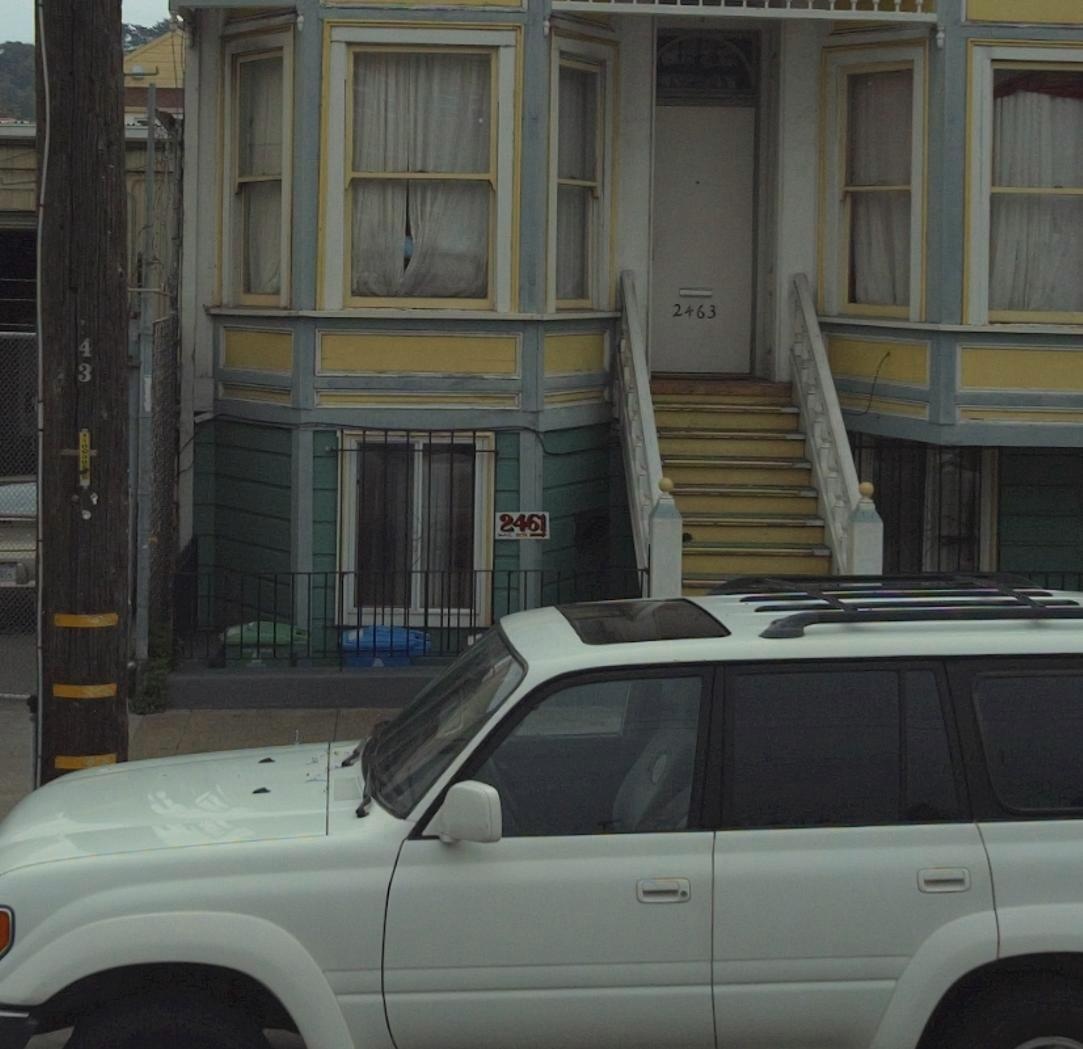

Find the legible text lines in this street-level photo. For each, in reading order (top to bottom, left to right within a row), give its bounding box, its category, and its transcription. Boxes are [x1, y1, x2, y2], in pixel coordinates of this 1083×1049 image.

[671, 303, 717, 319] StreetNumber: 2463
[75, 335, 93, 384] None: 43
[499, 513, 547, 533] StreetNumber: 2461